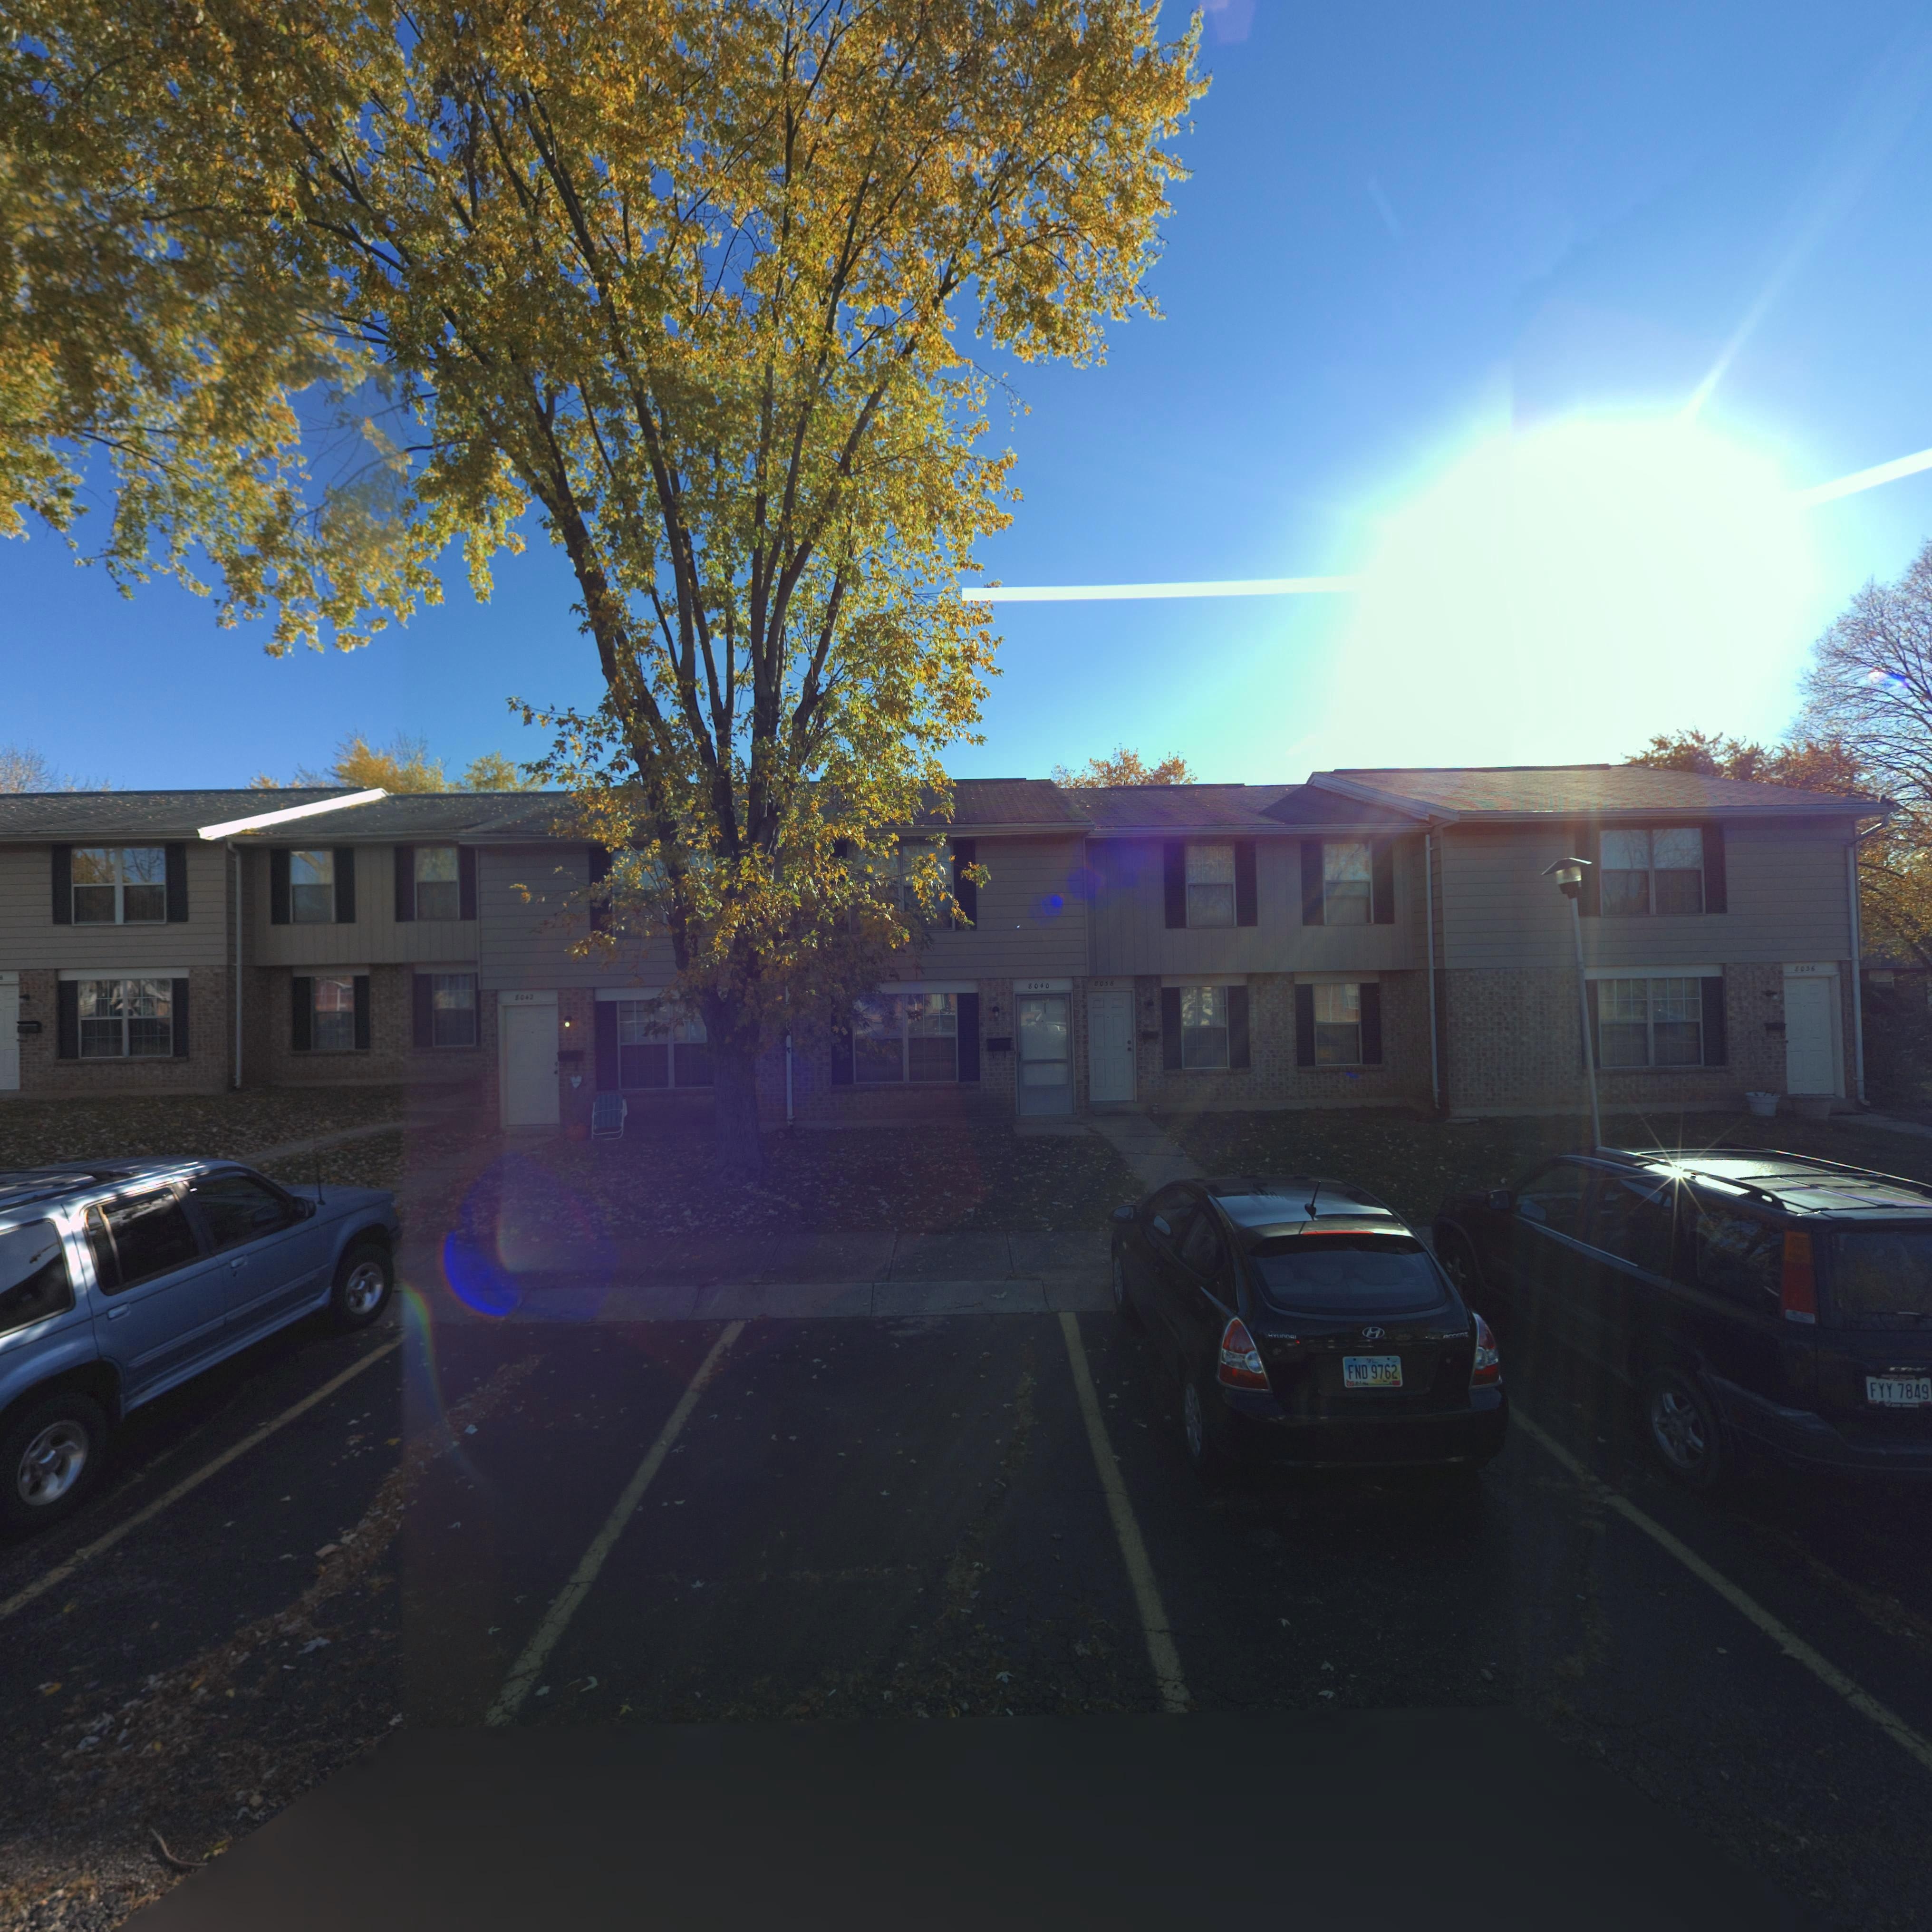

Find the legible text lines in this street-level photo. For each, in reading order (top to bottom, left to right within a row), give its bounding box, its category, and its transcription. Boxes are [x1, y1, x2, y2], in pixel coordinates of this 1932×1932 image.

[1793, 964, 1817, 974] StreetNumber: 80*6
[1027, 982, 1050, 990] StreetNumber: 8040
[1093, 979, 1115, 987] StreetNumber: 80*8
[514, 993, 535, 1002] StreetNumber: 80*2
[1348, 1363, 1401, 1382] None: FND 9762
[1868, 1381, 1929, 1402] None: FYY 7849